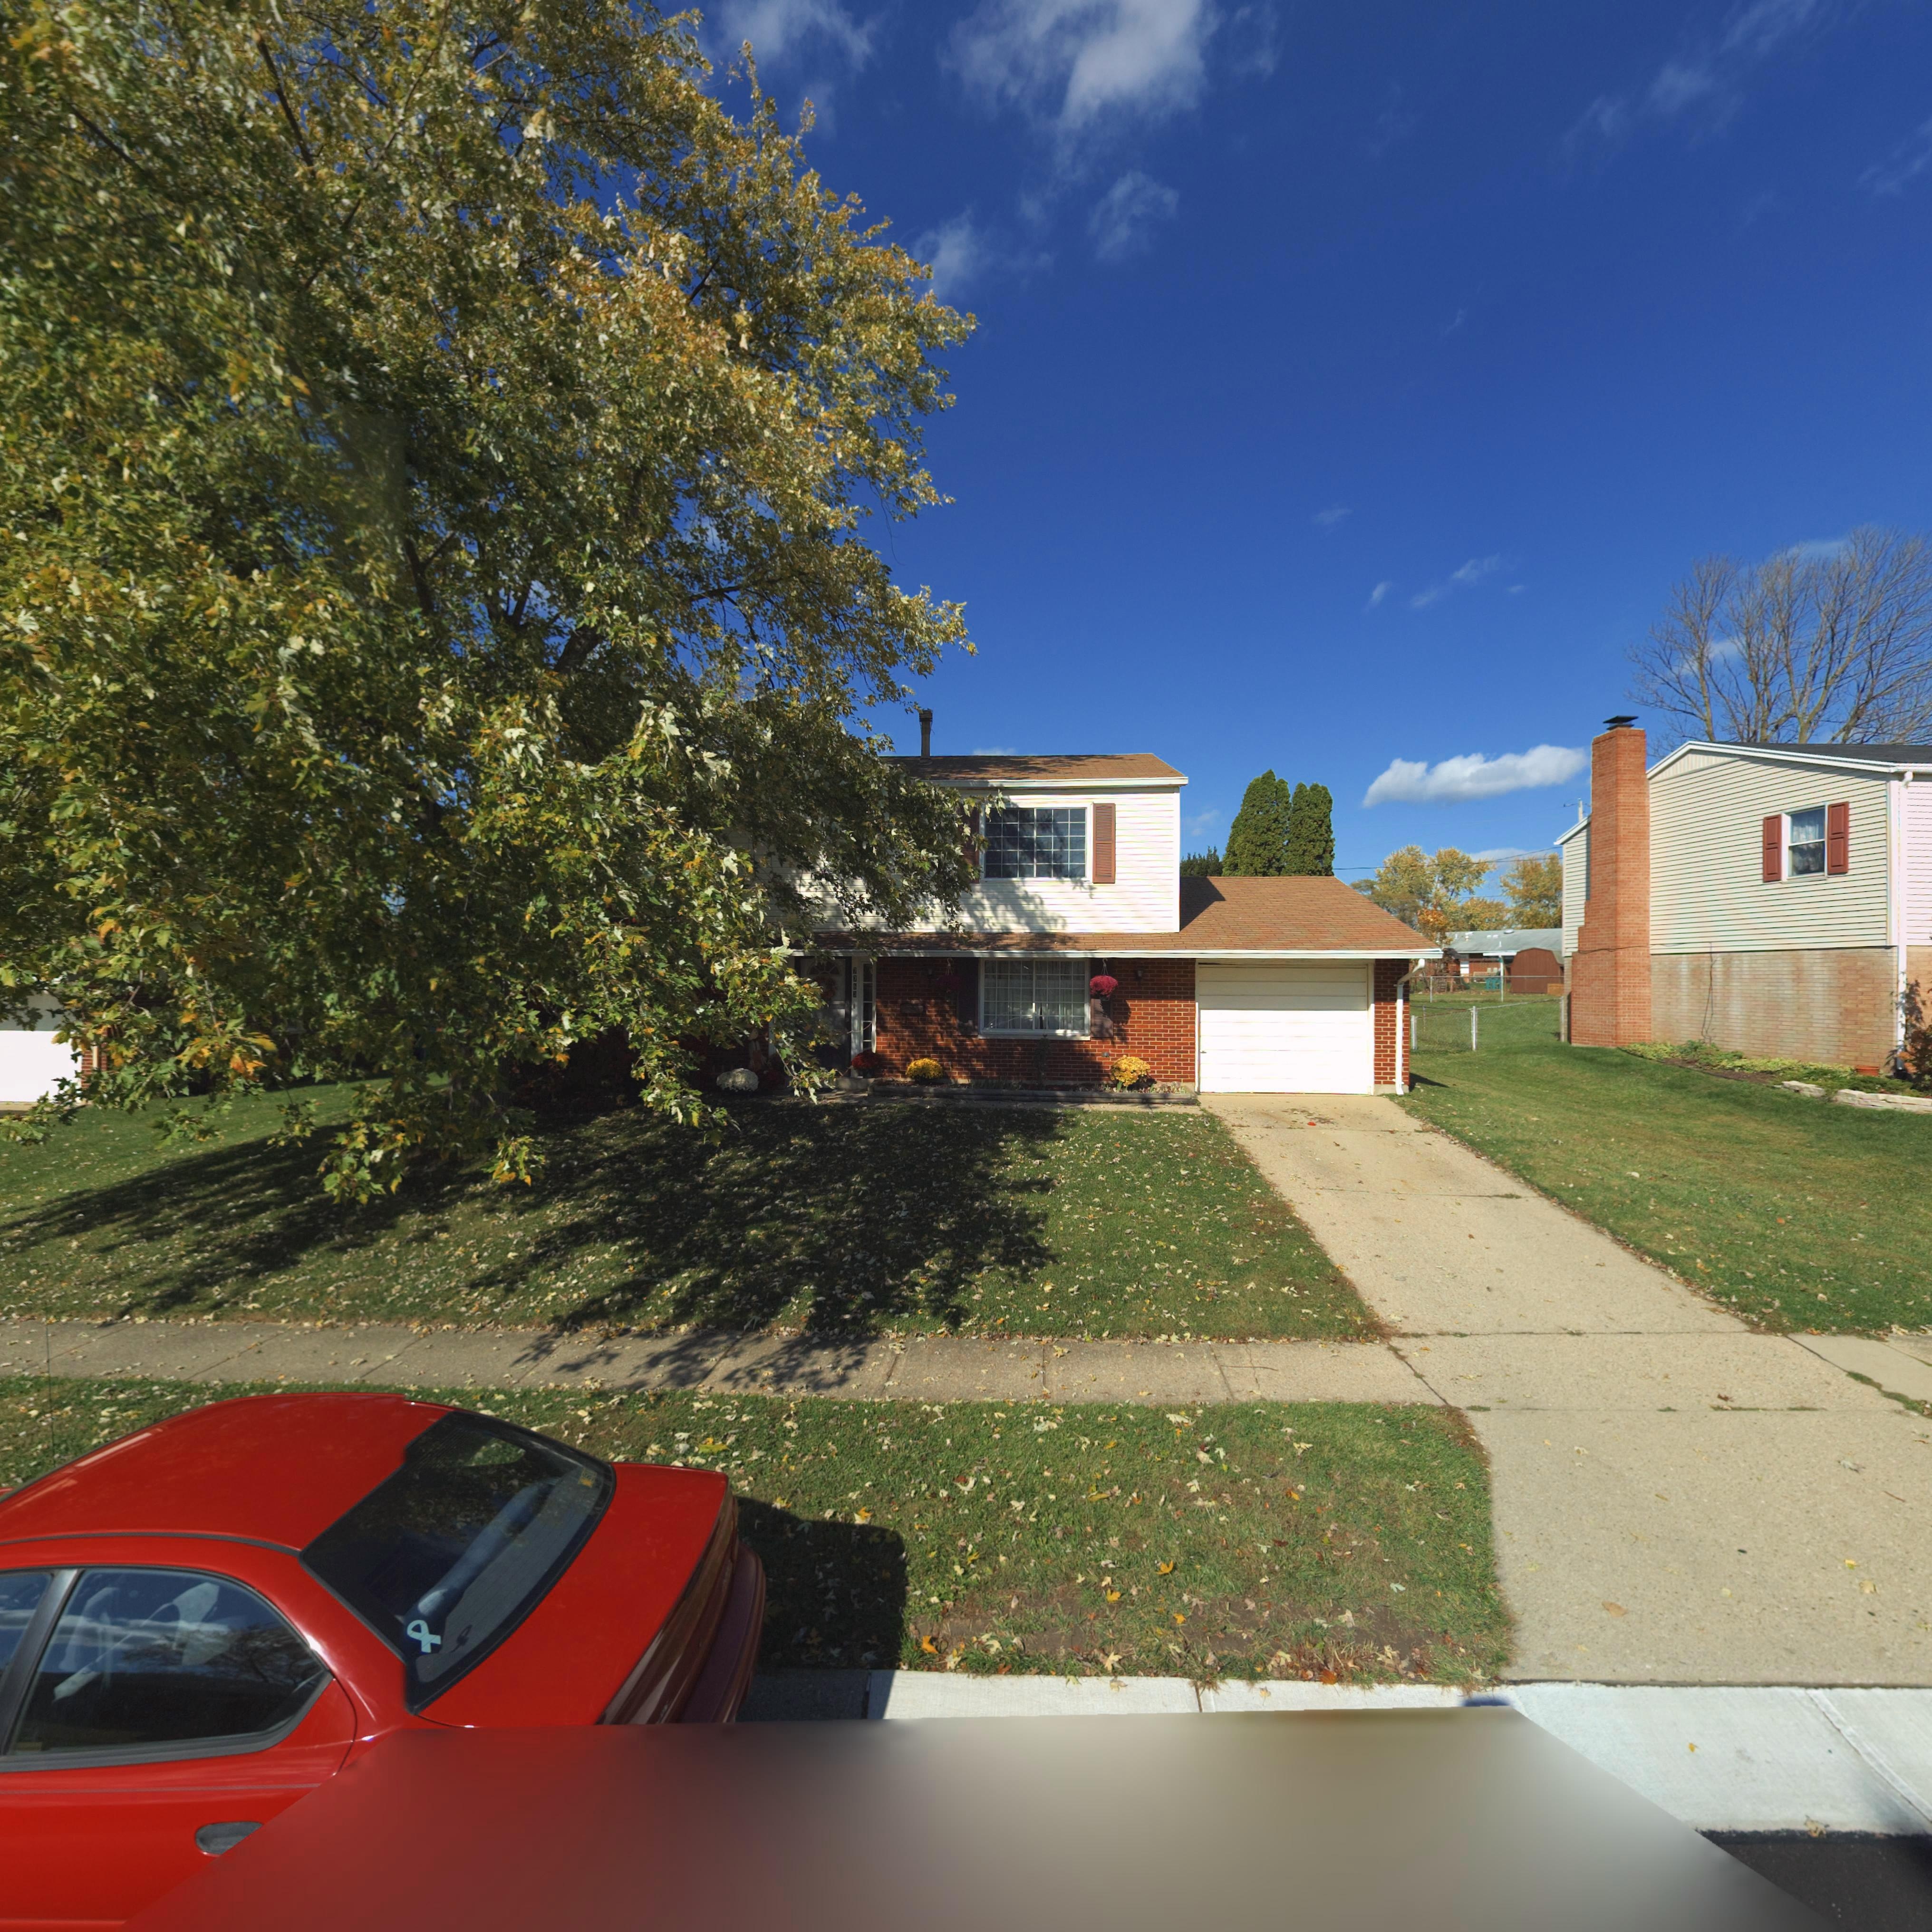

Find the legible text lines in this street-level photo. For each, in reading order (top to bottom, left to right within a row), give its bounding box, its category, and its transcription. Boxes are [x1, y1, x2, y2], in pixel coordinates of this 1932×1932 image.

[853, 967, 857, 997] StreetNumber: 7763